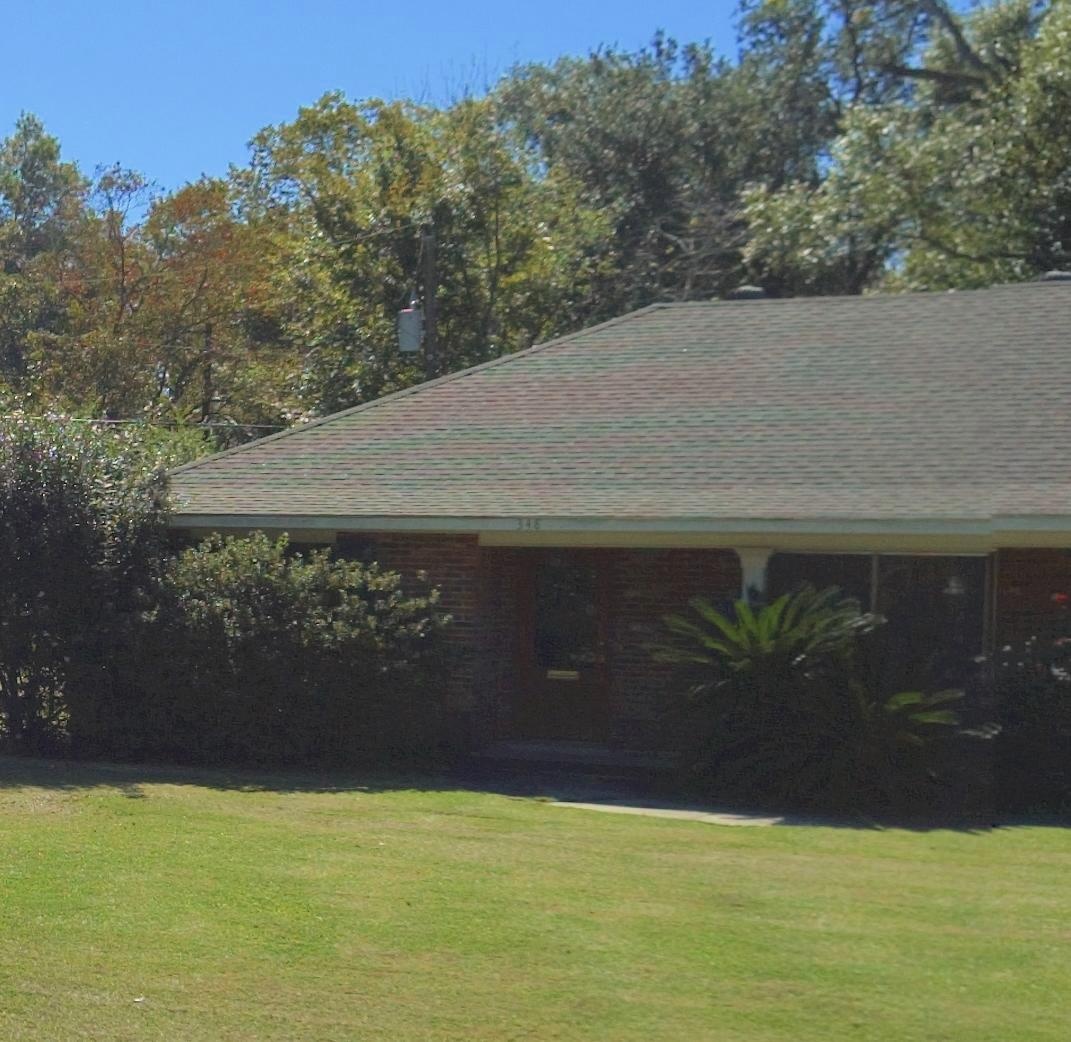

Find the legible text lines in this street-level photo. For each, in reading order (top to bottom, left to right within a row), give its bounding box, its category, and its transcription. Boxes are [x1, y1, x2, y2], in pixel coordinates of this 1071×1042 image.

[514, 516, 542, 532] StreetNumber: 348